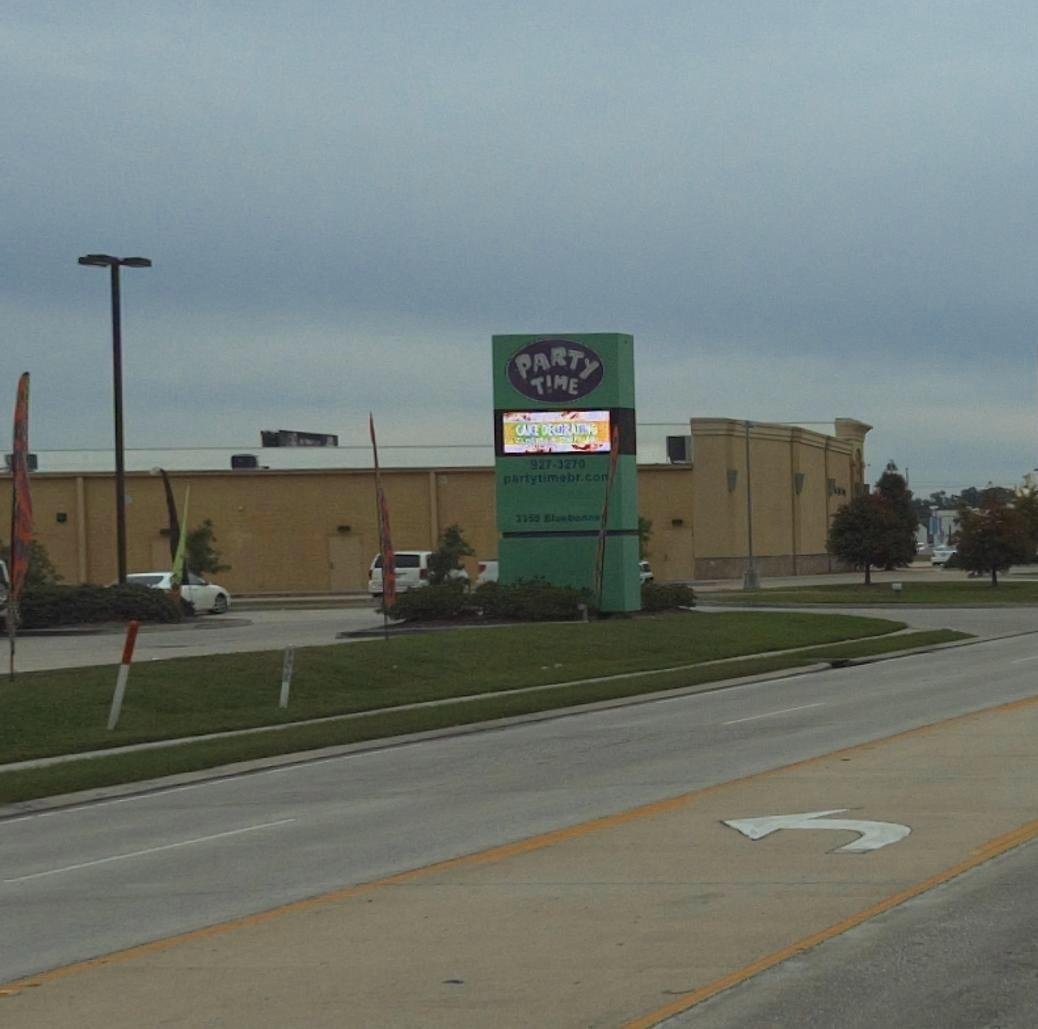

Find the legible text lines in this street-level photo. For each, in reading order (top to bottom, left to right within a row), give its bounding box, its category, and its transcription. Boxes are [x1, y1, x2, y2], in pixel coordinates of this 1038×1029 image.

[512, 345, 602, 382] BusinessName: PARTY
[527, 373, 580, 397] BusinessName: TIME
[514, 424, 599, 436] None: CAKE DECORATING
[529, 458, 587, 471] None: 927-3270
[503, 472, 601, 487] None: partytimebr.co
[514, 512, 540, 523] StreetNumber: 3350
[544, 511, 603, 524] StreetName: Bla**b****